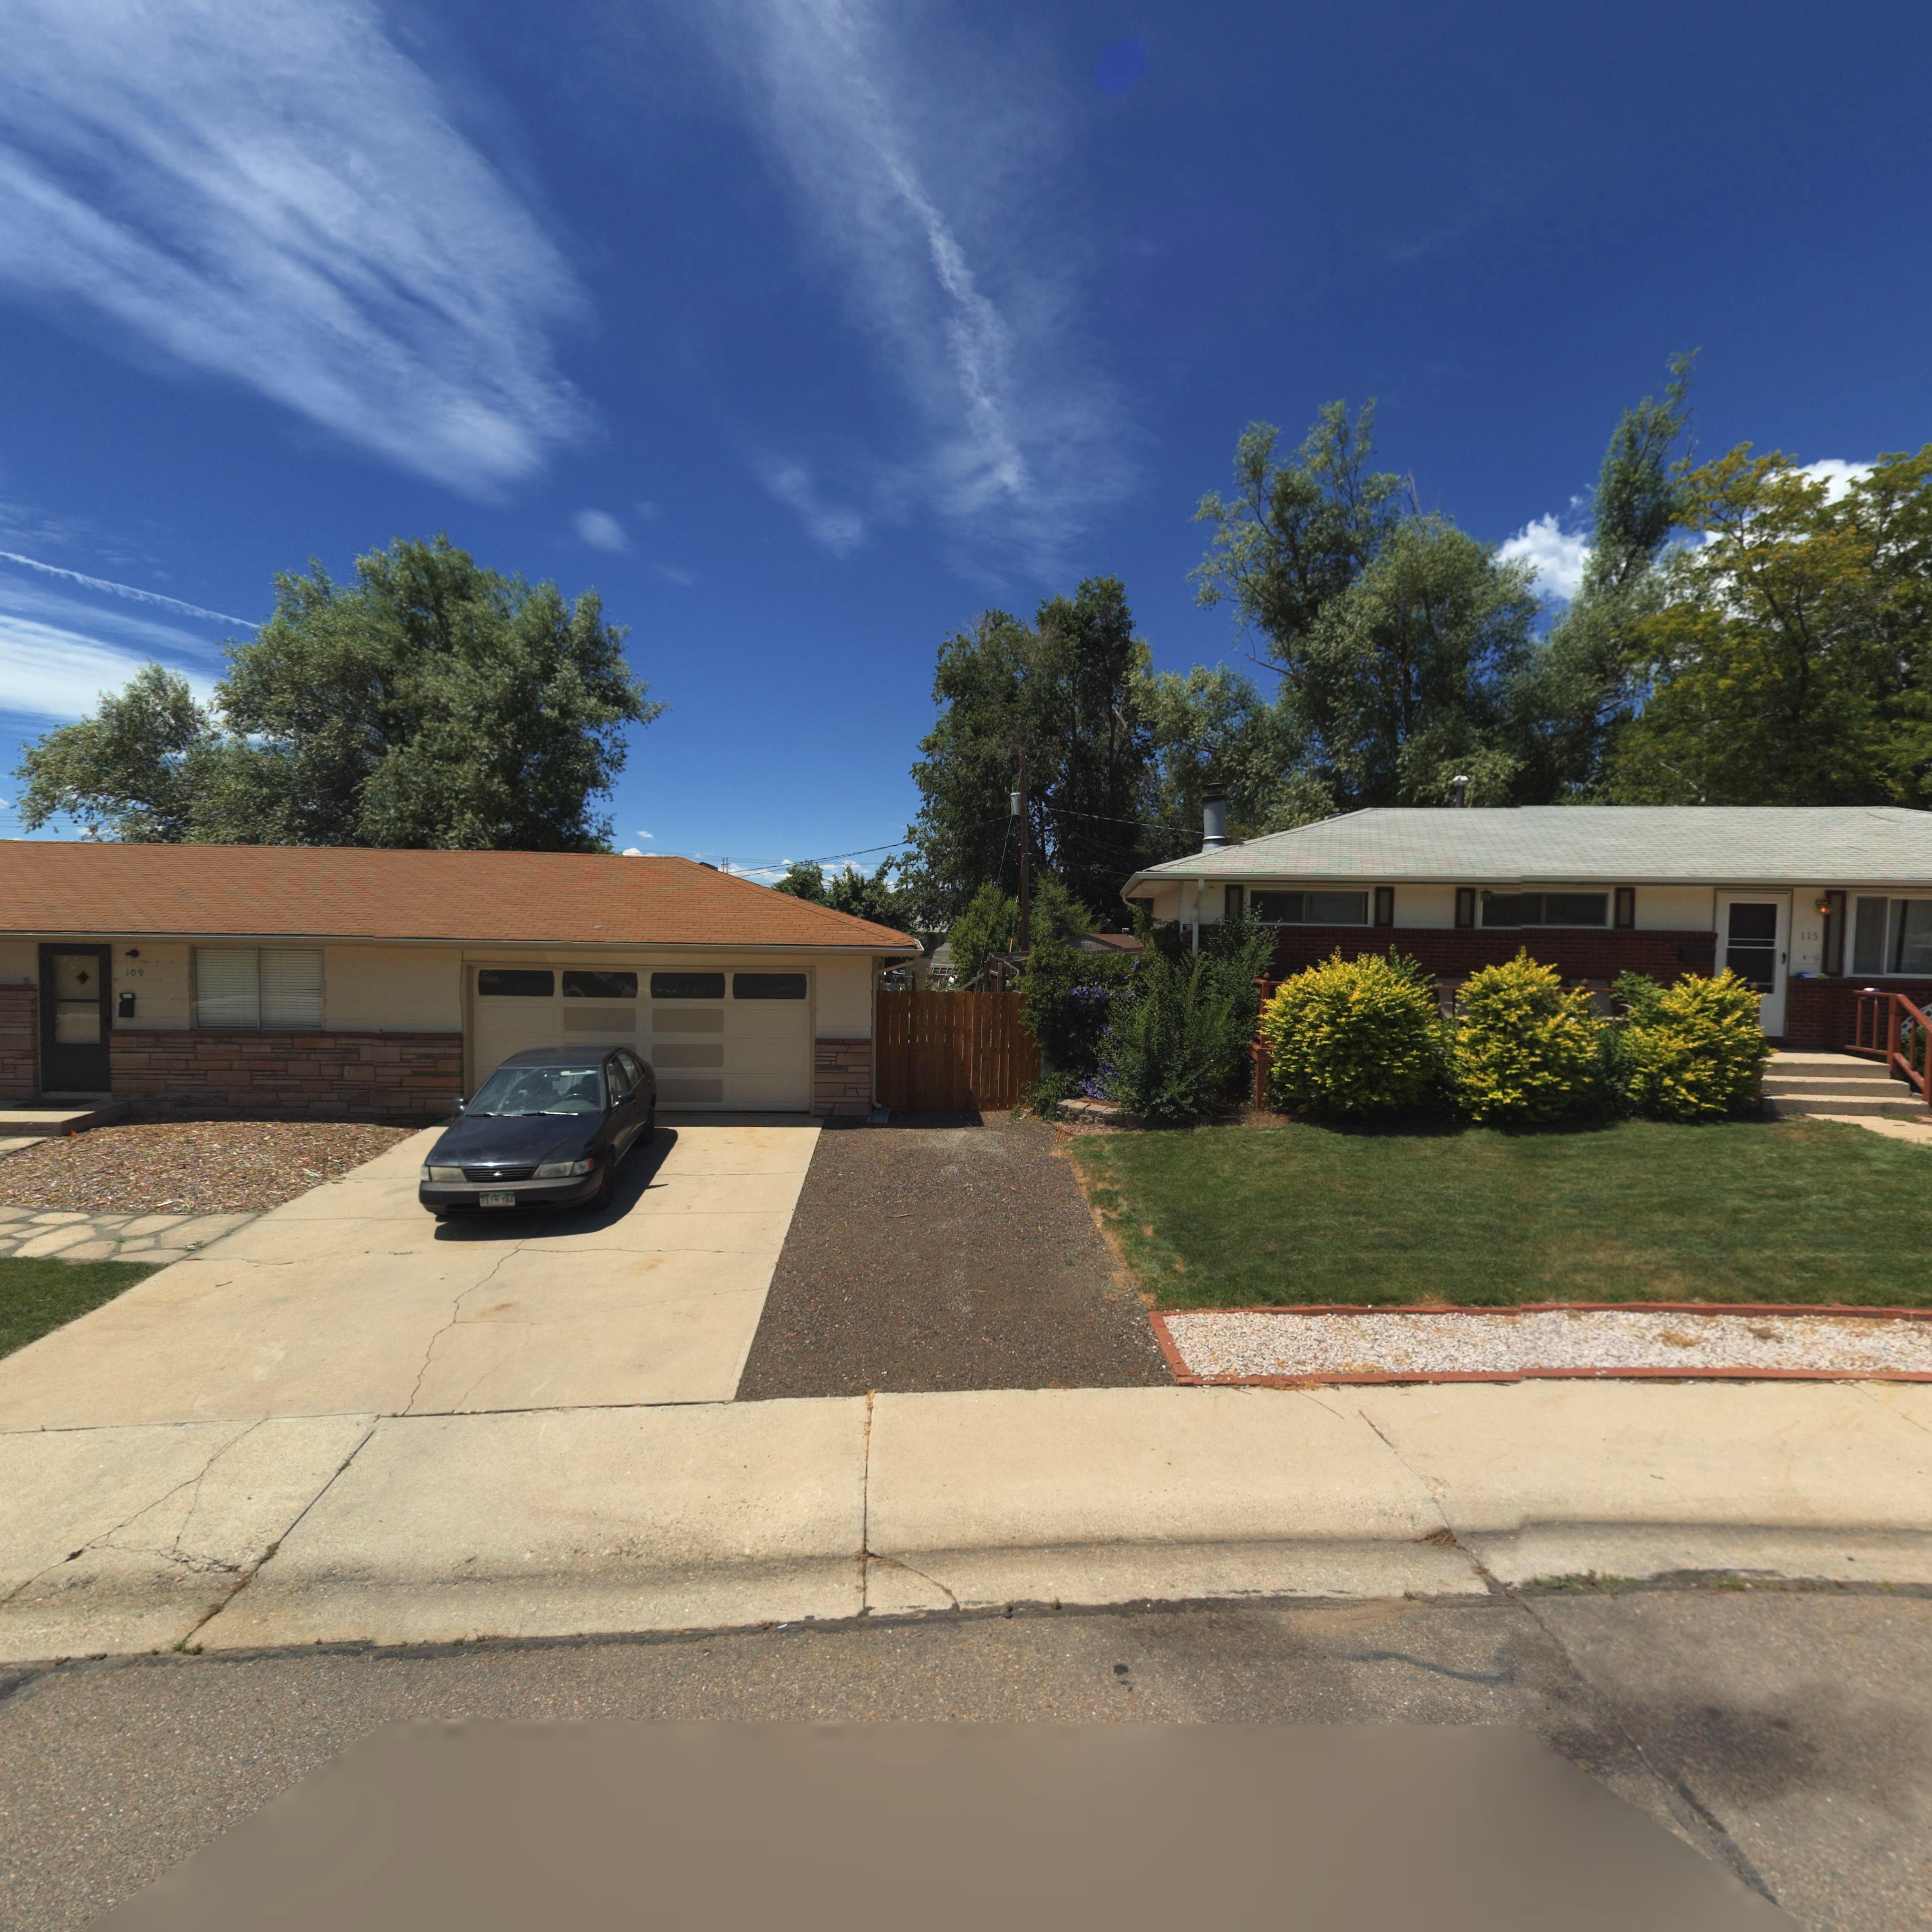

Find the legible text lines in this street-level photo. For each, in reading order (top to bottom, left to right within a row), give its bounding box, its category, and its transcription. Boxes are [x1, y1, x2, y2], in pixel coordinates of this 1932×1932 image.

[1801, 932, 1818, 940] StreetNumber: 115
[126, 968, 144, 977] StreetNumber: 109